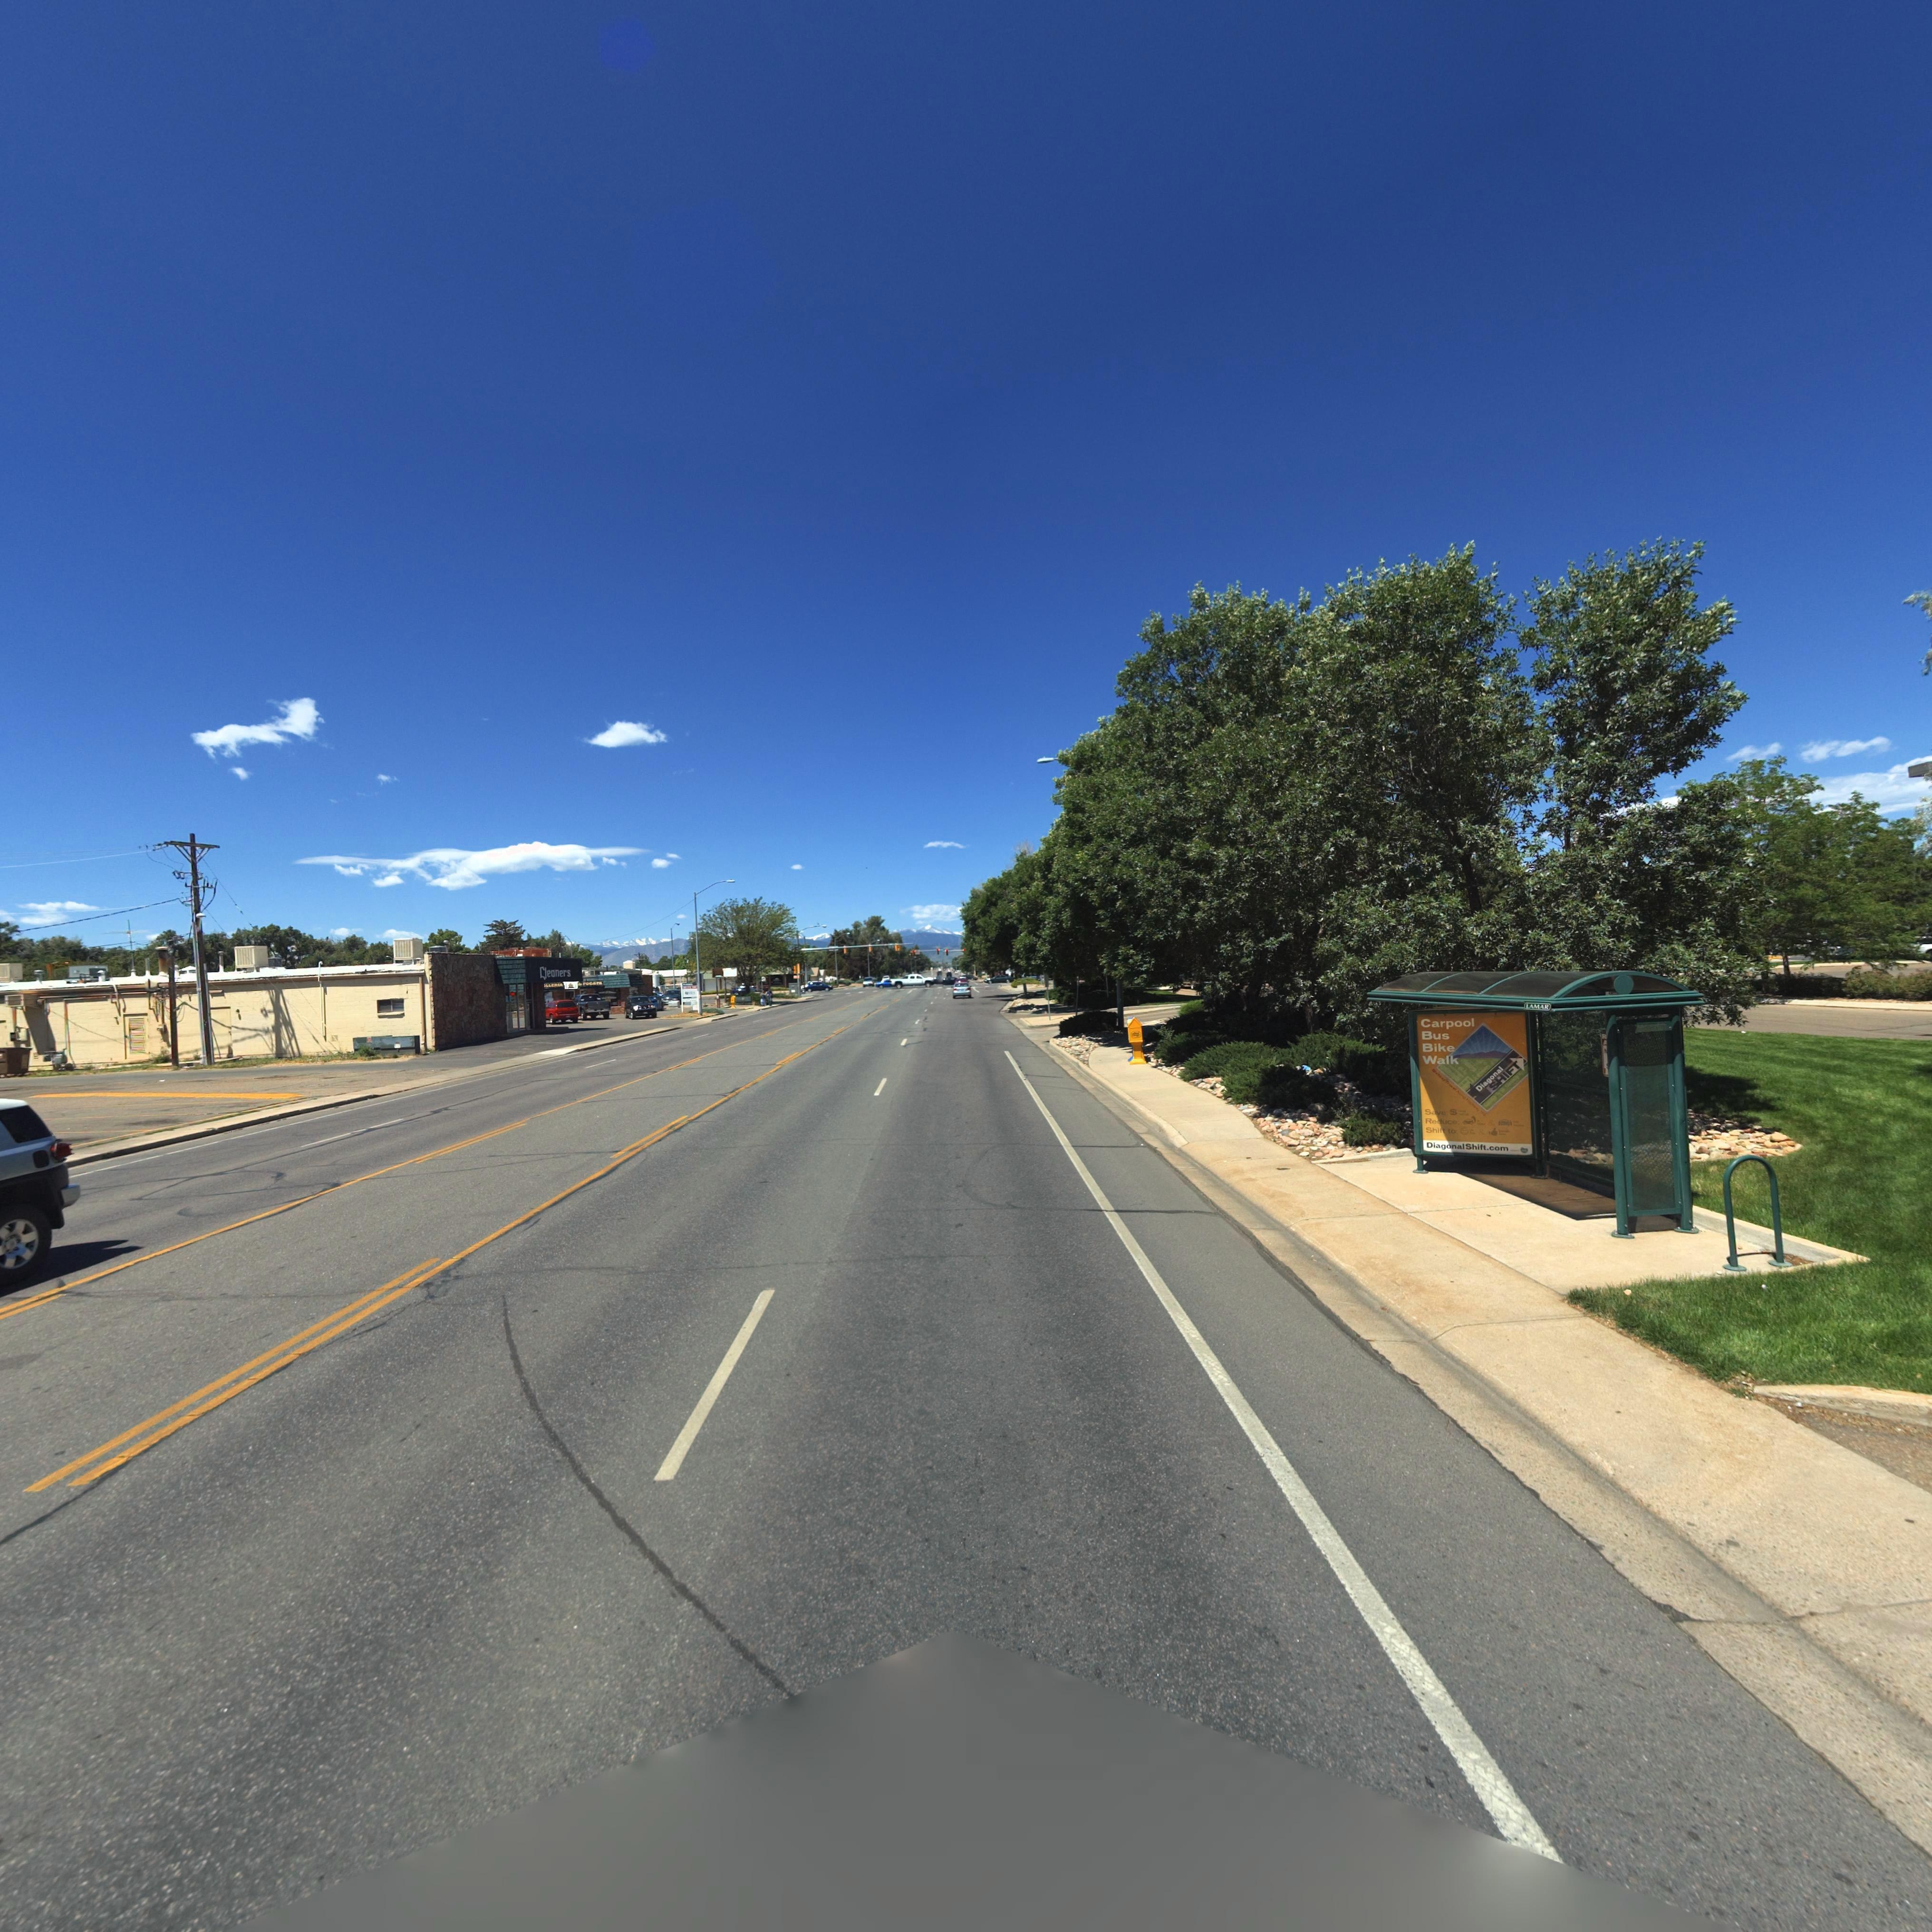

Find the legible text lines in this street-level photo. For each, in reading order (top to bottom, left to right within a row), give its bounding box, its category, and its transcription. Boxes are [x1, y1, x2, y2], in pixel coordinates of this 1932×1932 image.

[543, 983, 563, 988] BusinessName: ****IA
[582, 981, 603, 985] BusinessName: FOG***